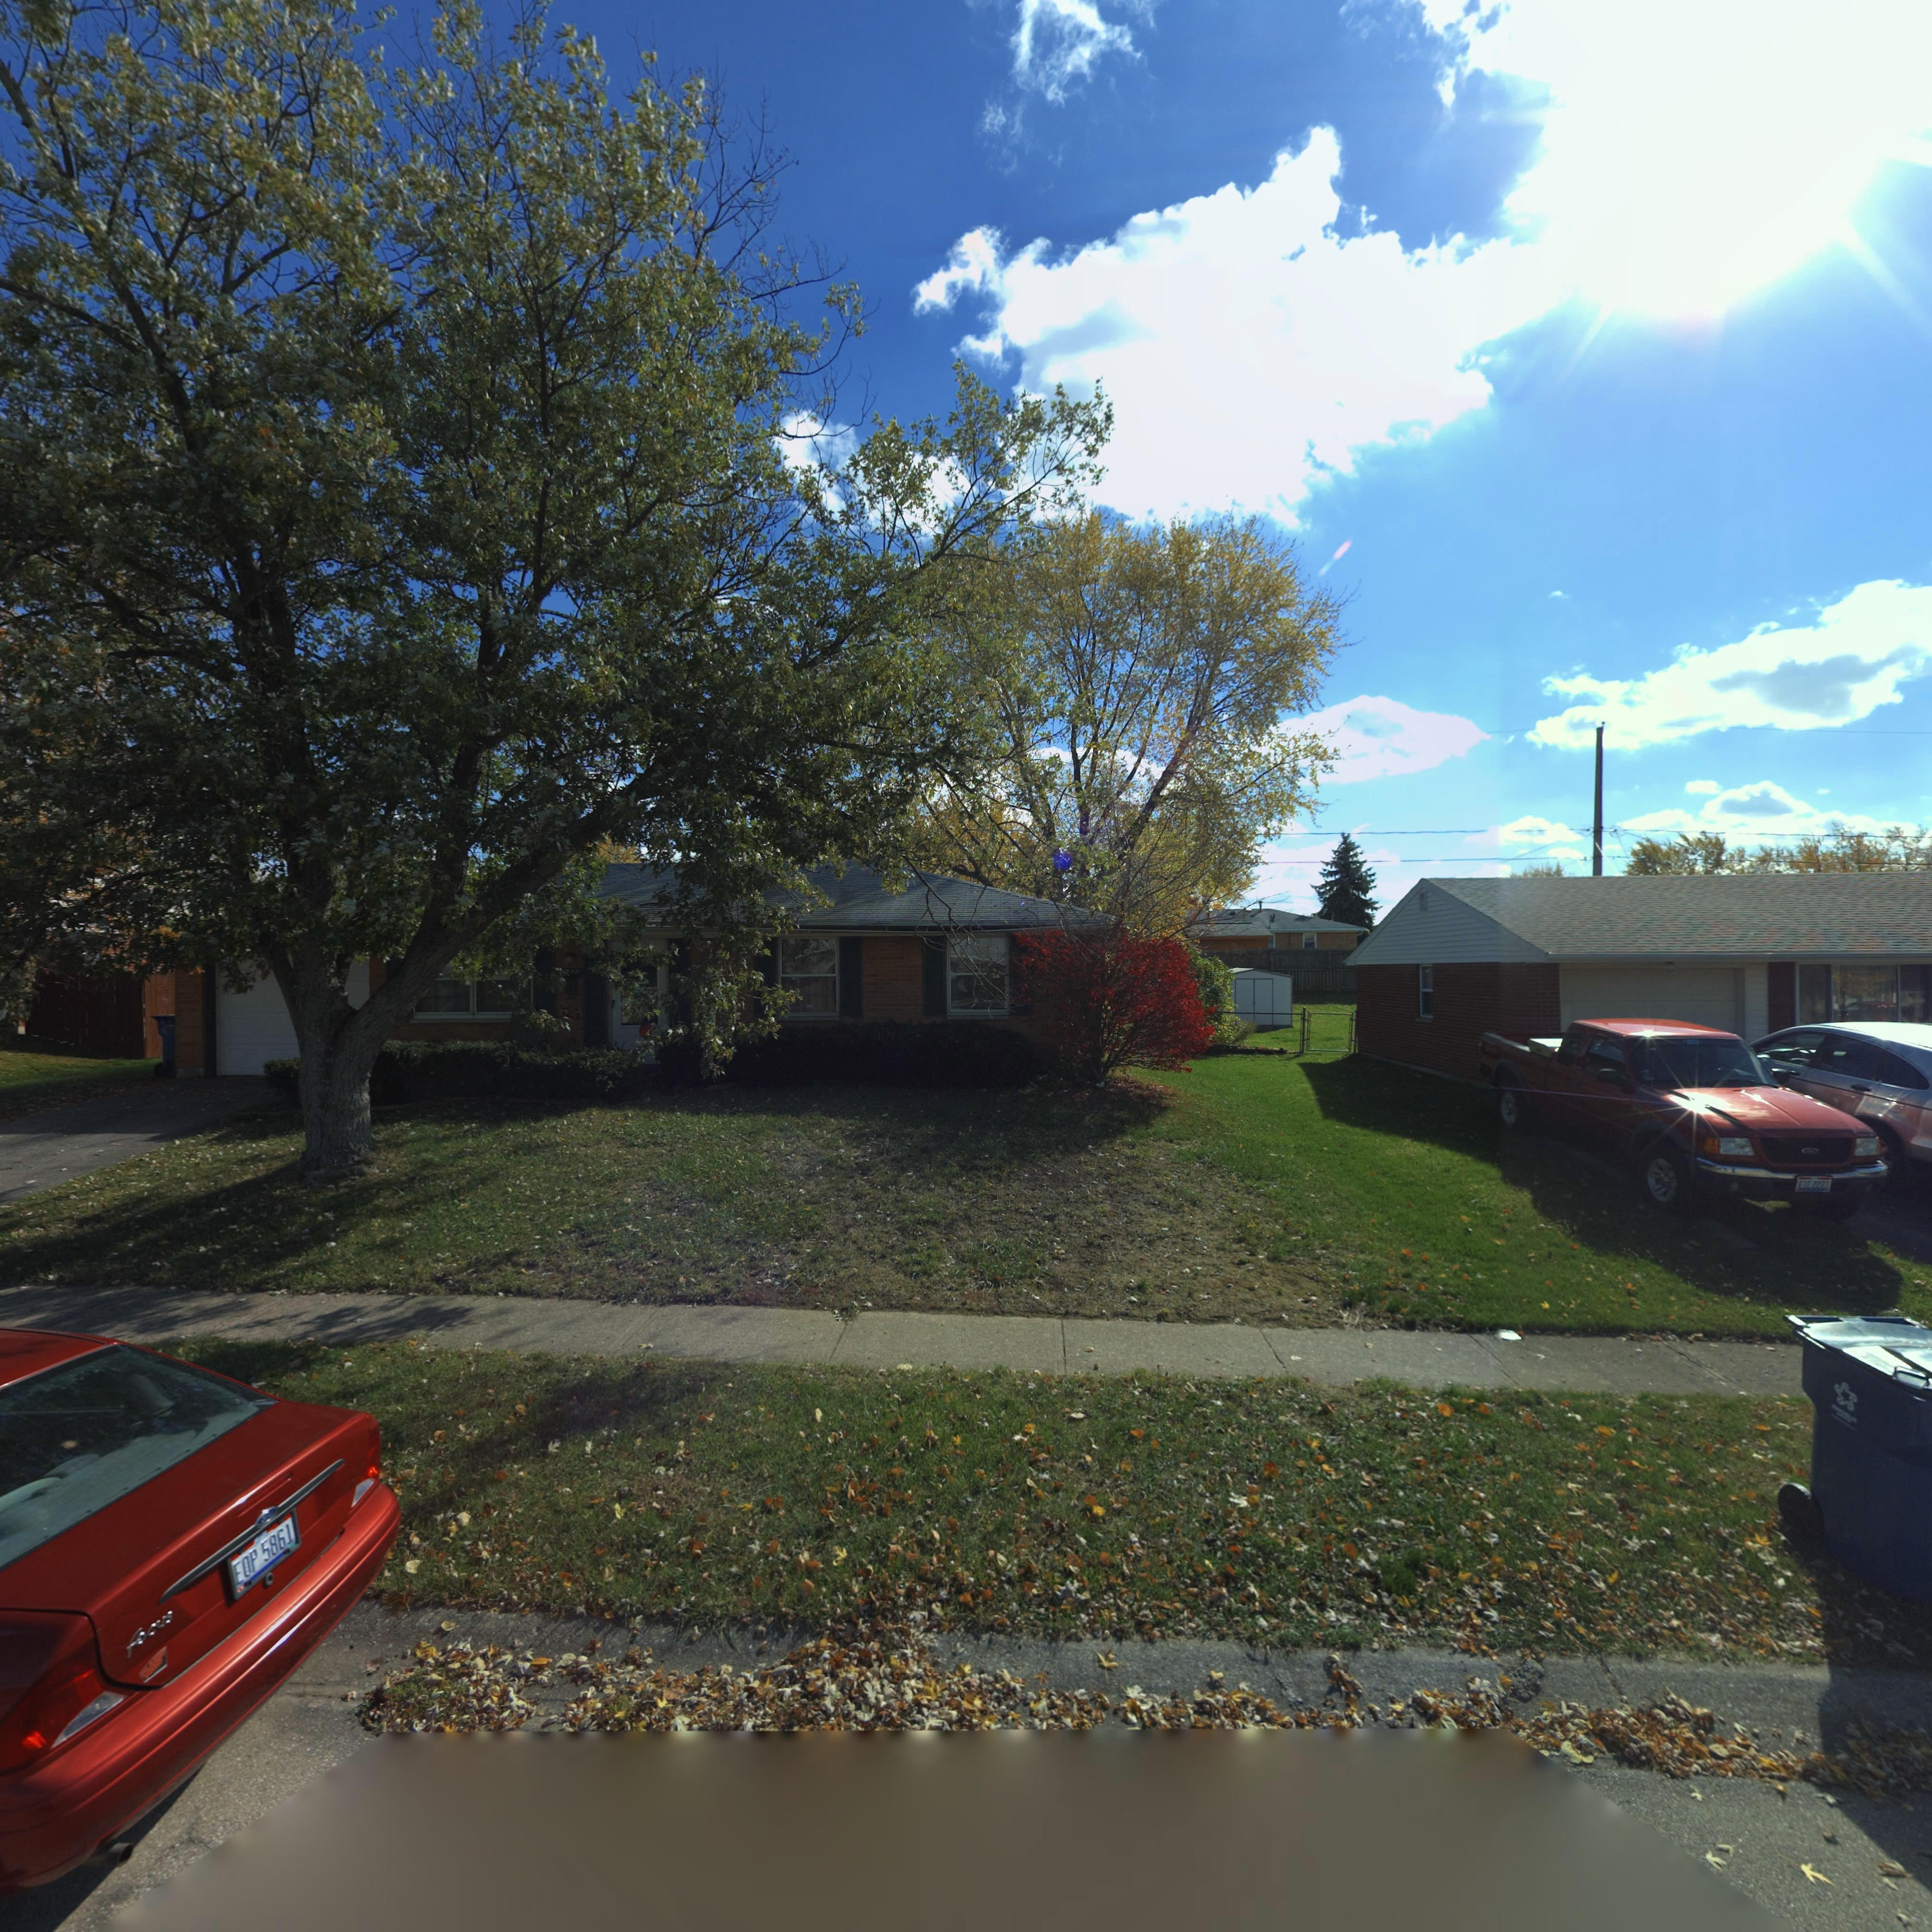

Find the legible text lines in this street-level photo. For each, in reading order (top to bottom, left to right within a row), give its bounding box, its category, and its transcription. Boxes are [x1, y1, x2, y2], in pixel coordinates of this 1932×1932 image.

[570, 969, 580, 975] StreetNumber: 10